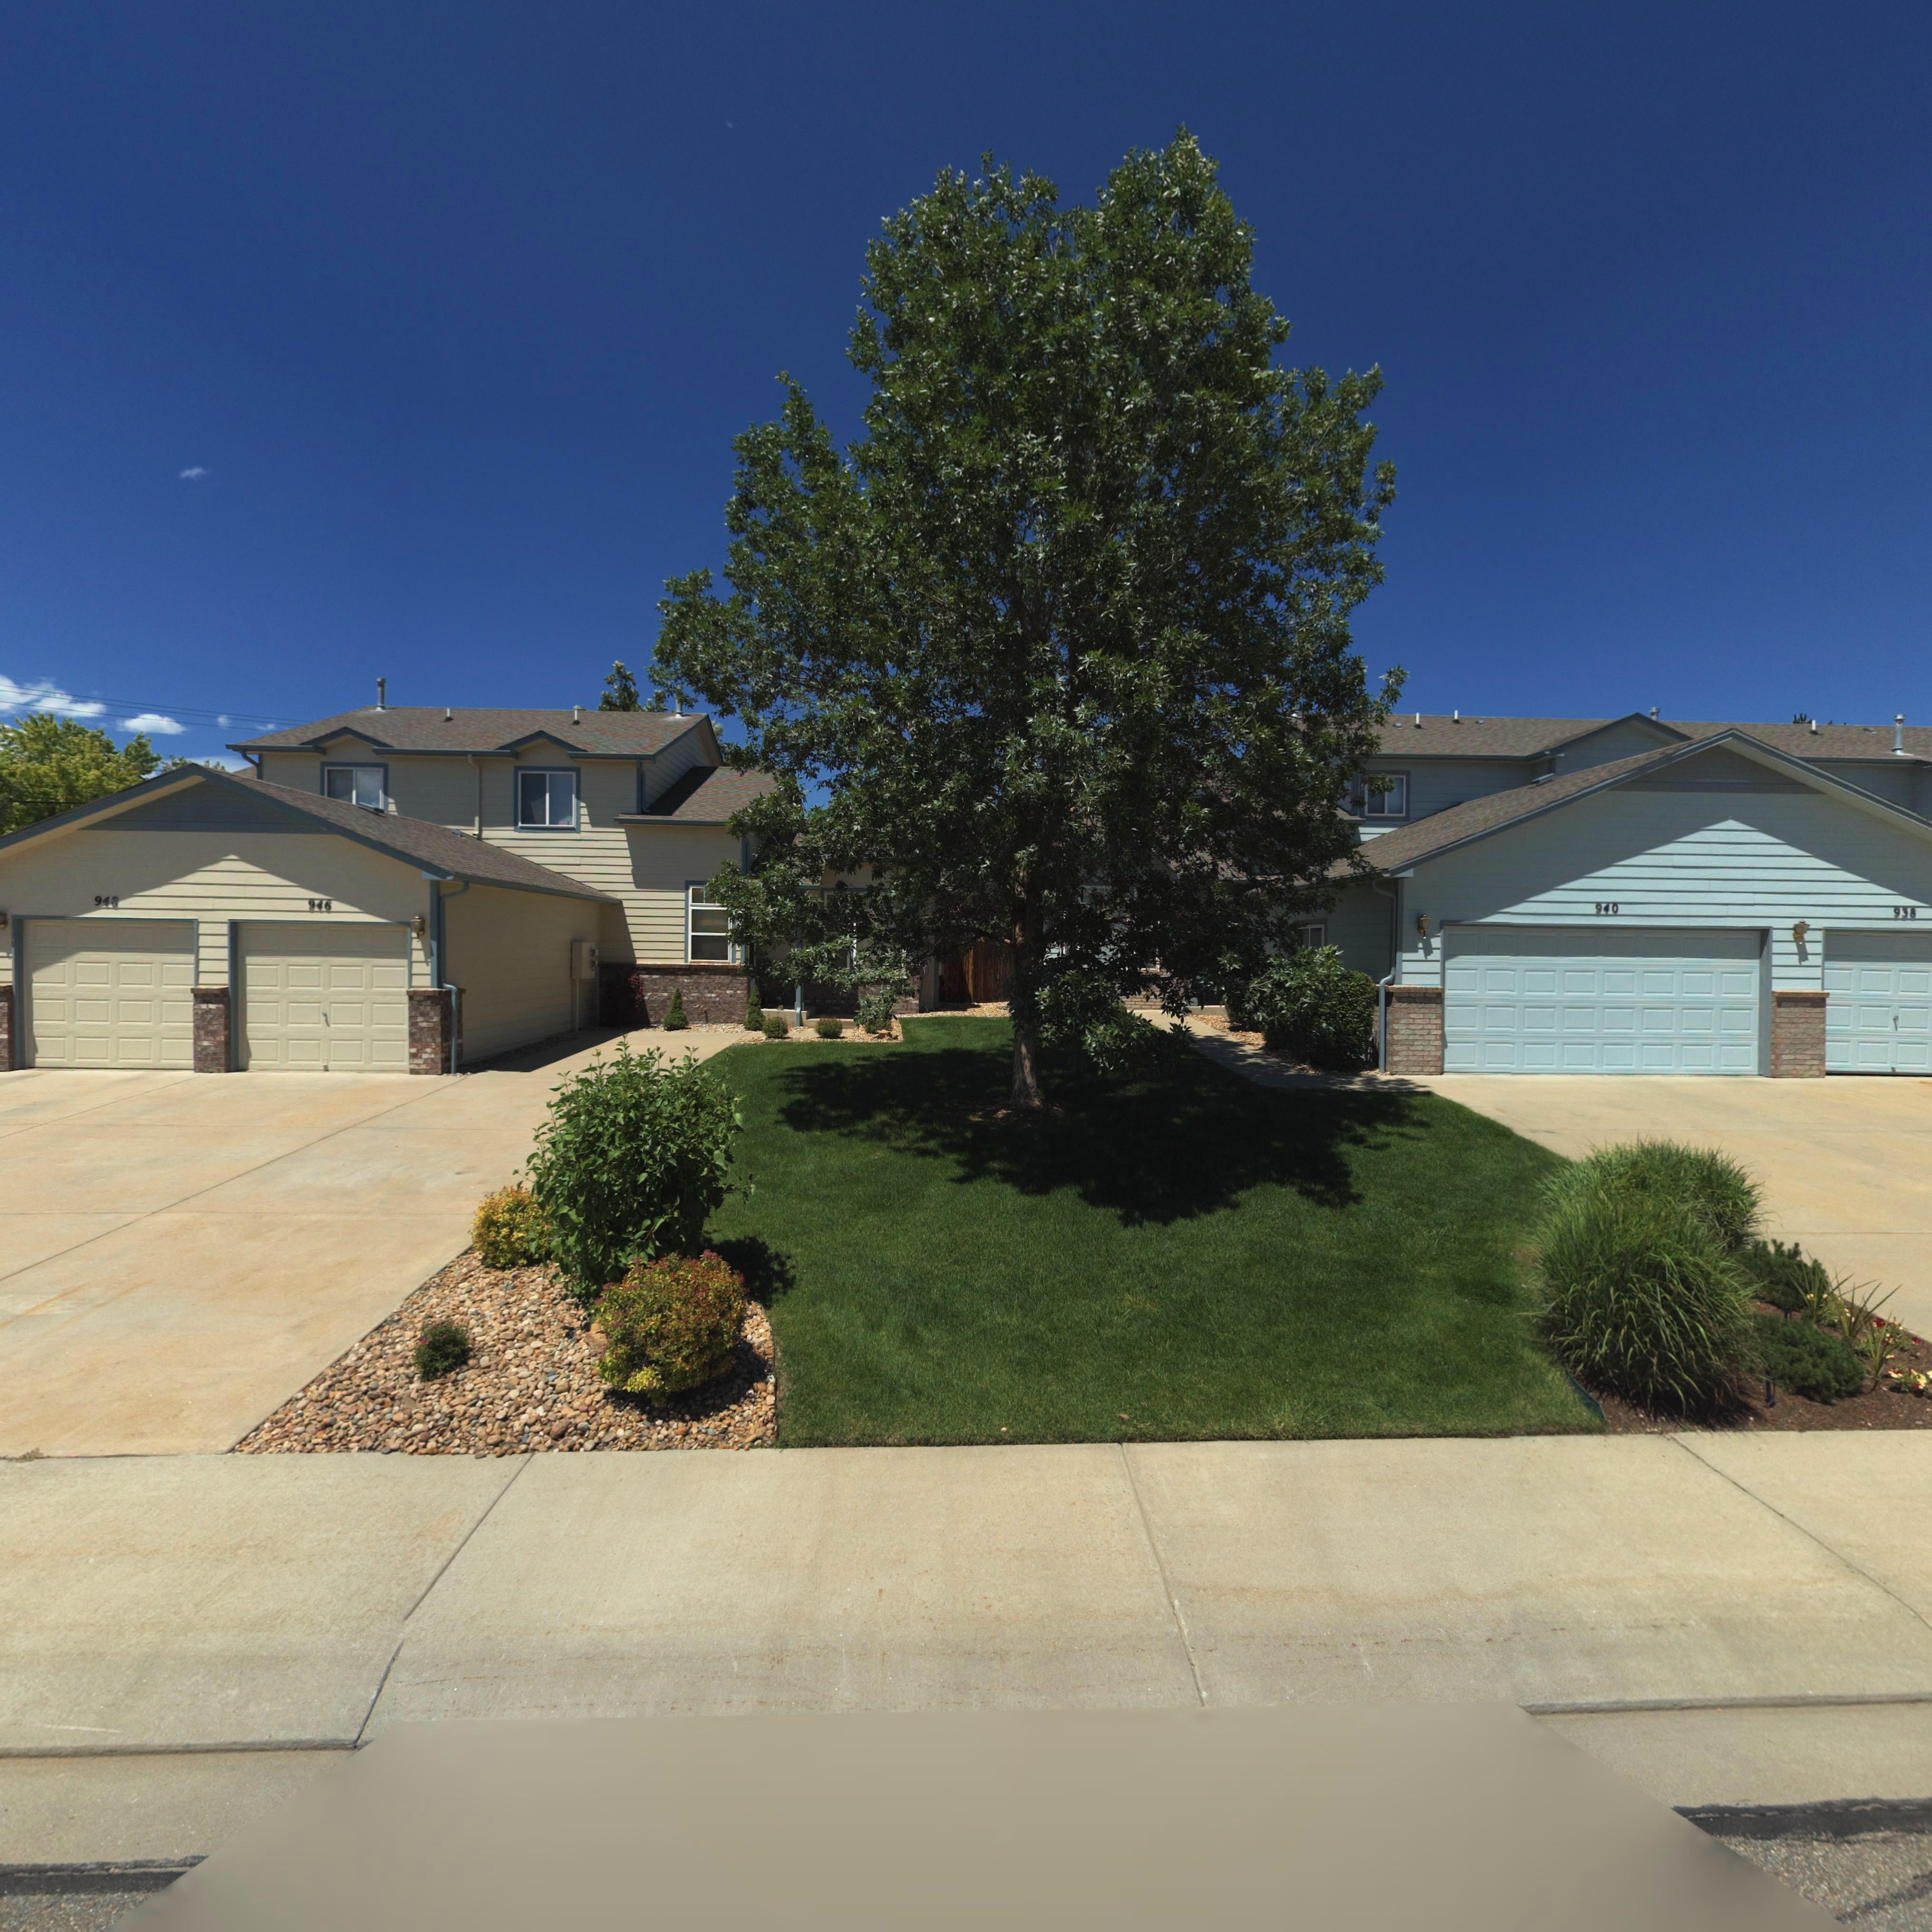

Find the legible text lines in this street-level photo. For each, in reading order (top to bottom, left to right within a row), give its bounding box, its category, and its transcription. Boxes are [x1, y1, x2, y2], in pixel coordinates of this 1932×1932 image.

[94, 895, 118, 907] StreetNumber: 948
[308, 898, 331, 910] StreetNumber: 946
[1595, 902, 1619, 913] StreetNumber: 940
[1893, 906, 1916, 918] StreetNumber: 938